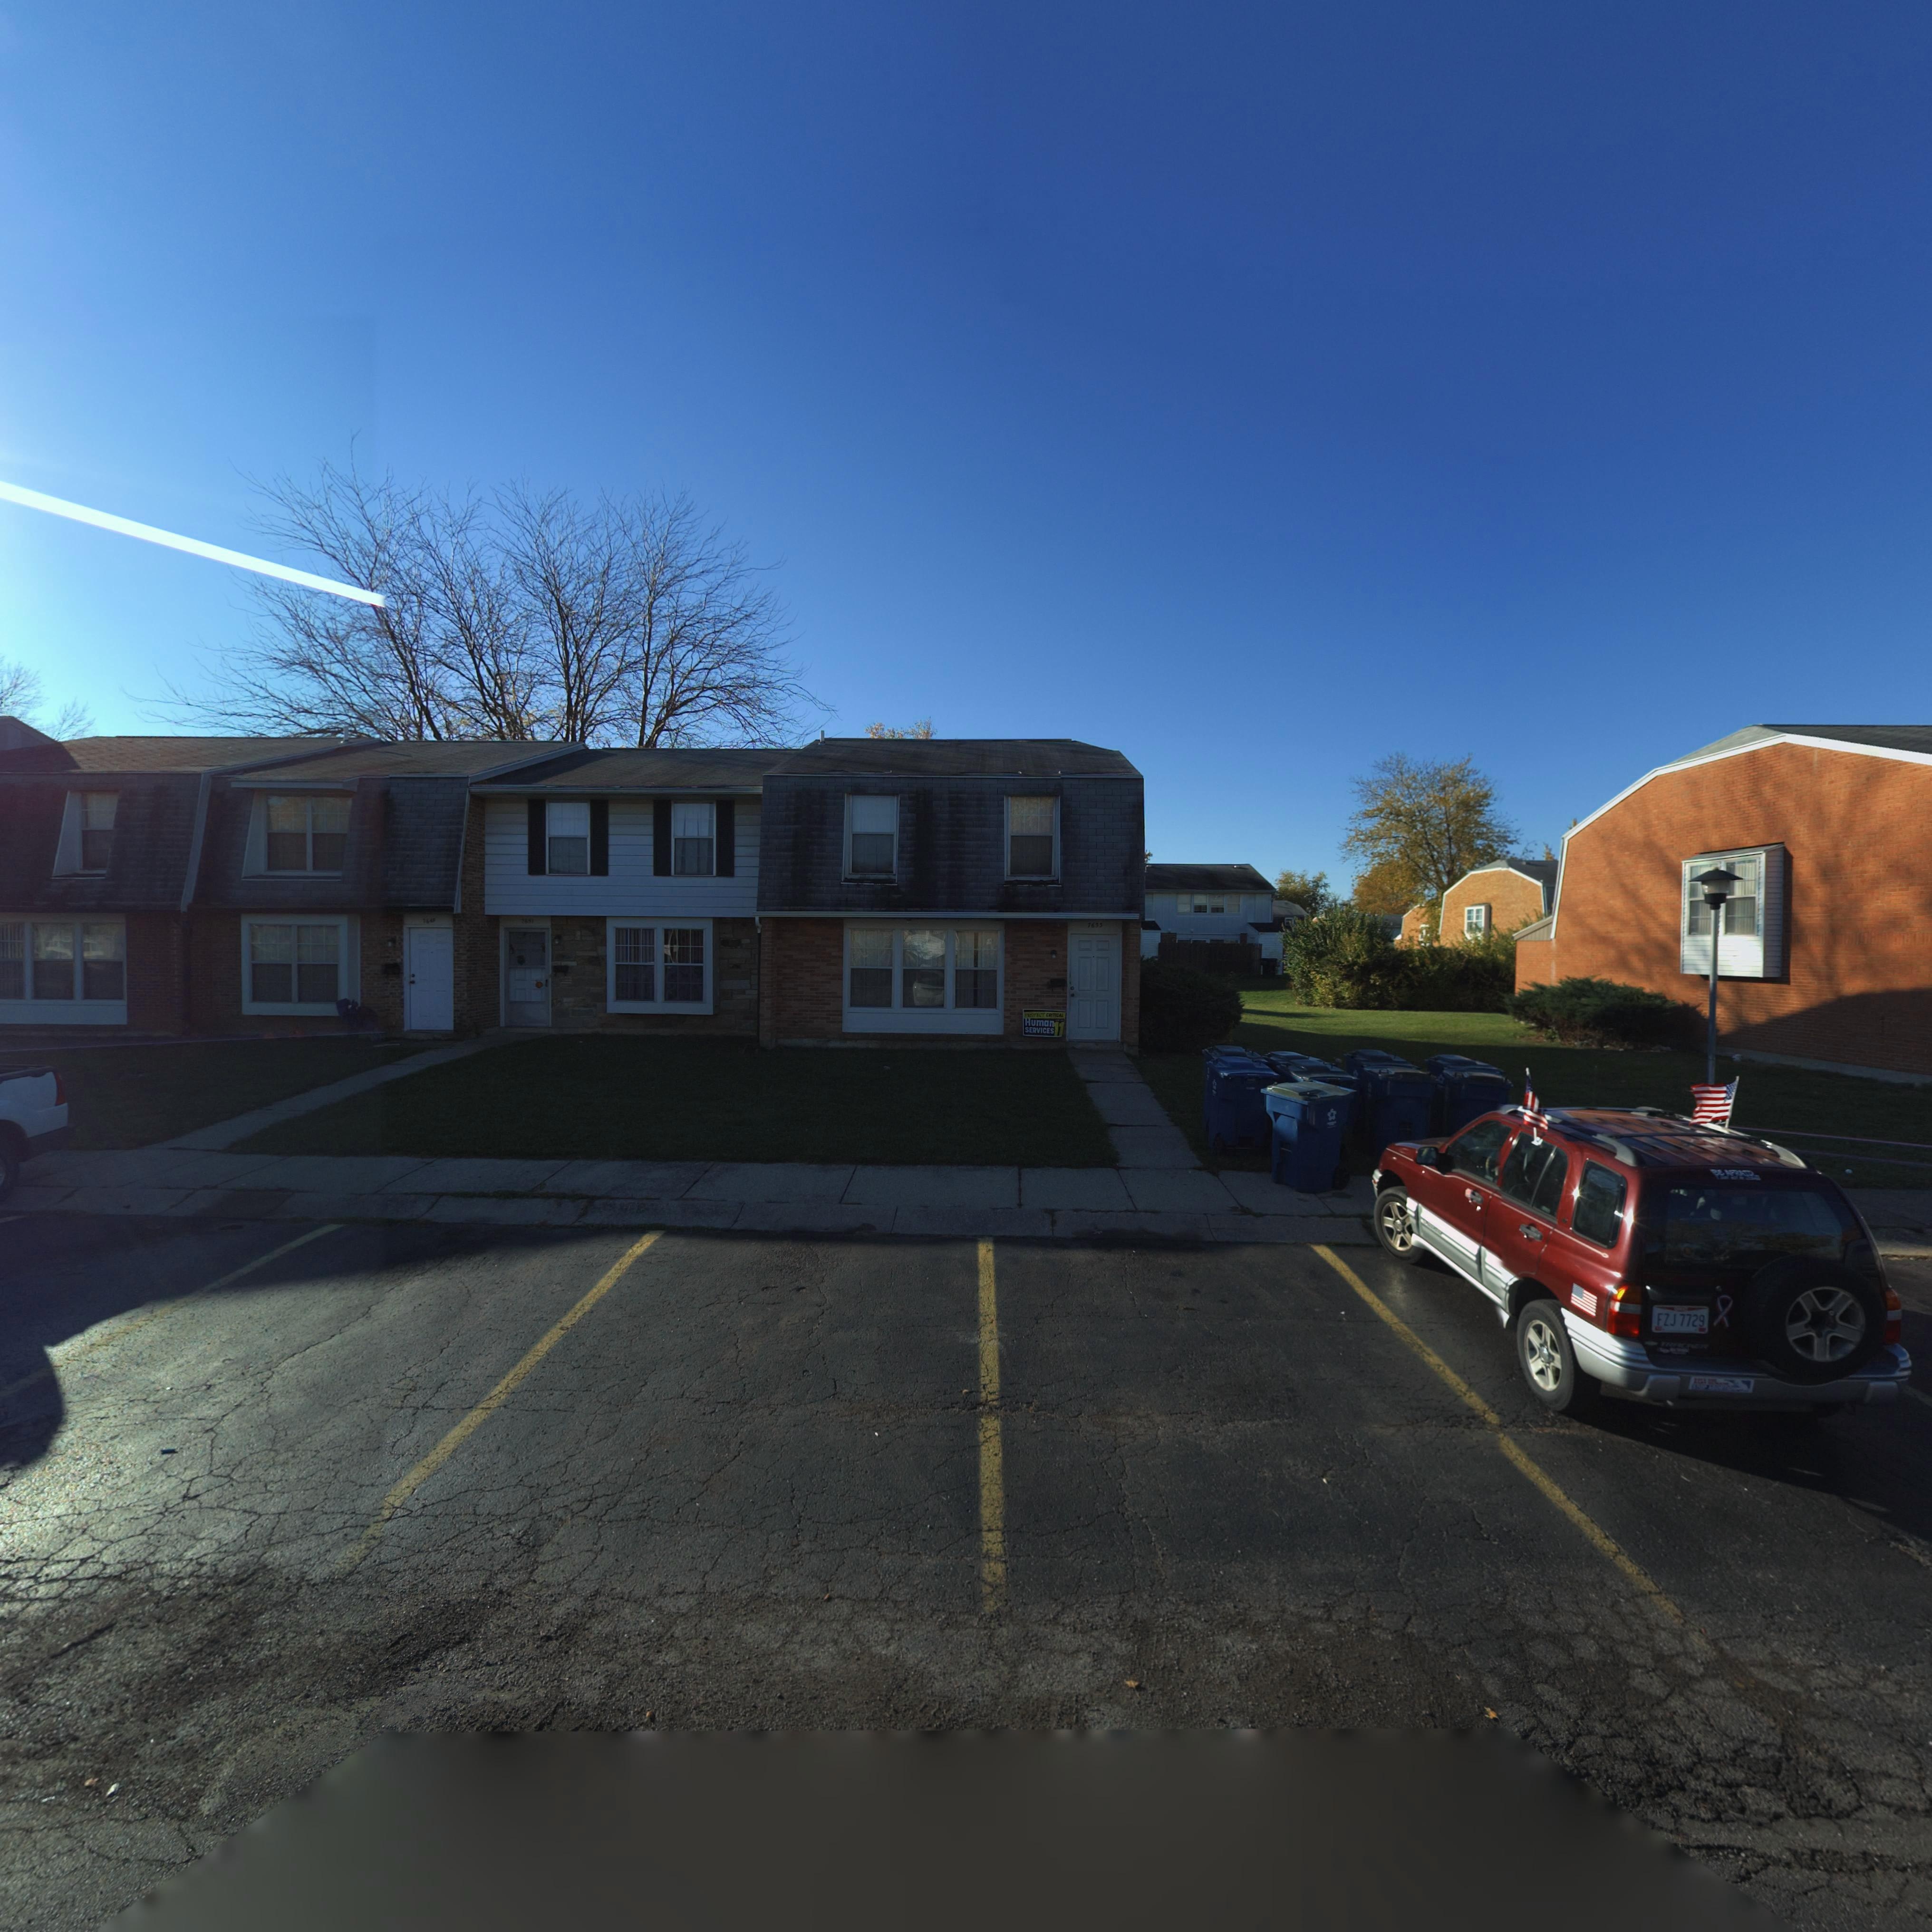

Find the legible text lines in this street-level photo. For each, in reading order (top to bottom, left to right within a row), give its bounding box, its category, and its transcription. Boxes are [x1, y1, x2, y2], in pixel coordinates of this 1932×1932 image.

[422, 918, 437, 924] StreetNumber: 7649
[520, 918, 535, 924] StreetNumber: 7651
[1087, 922, 1103, 928] StreetNumber: 7653